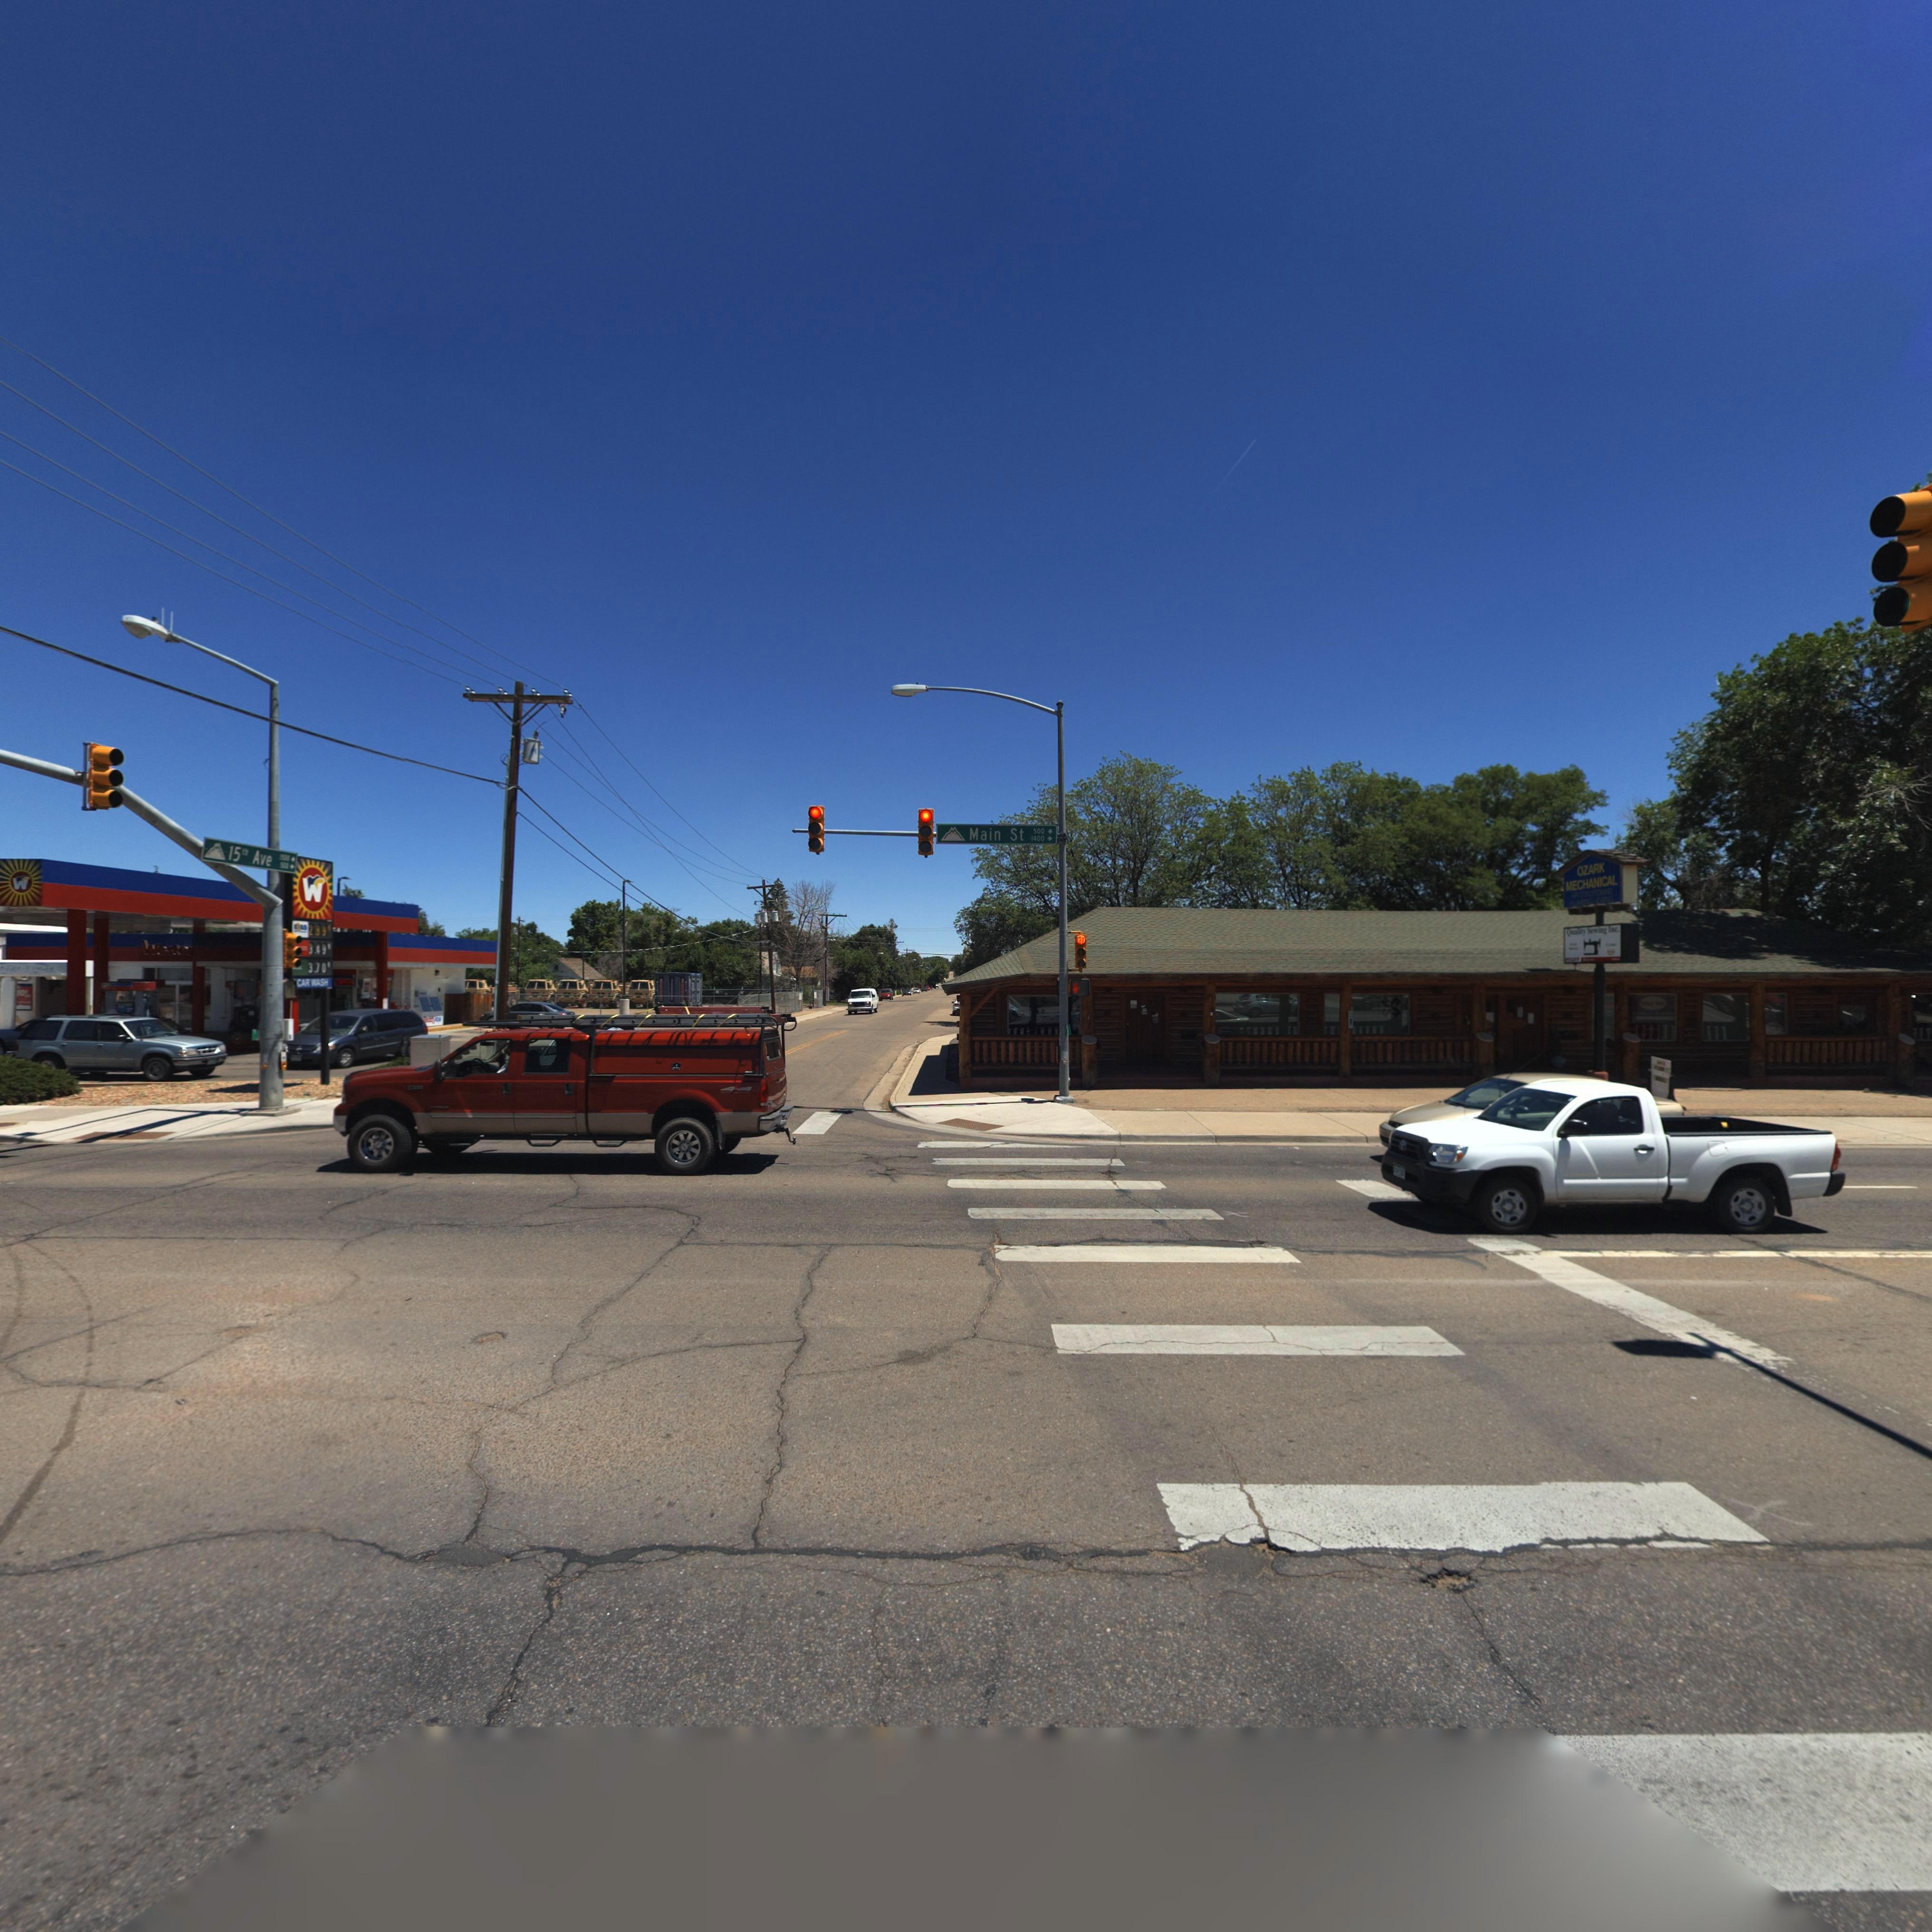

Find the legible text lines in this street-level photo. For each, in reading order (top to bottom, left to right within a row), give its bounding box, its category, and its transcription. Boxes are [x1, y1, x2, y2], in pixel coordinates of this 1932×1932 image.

[969, 827, 1024, 841] StreetName: Main St
[1033, 828, 1045, 834] StreetNumberRange: 500
[1031, 835, 1053, 841] StreetNumberRange: 1400->
[226, 844, 273, 868] StreetName: 15th Ave
[278, 851, 291, 862] StreetNumberRange: 1500
[279, 861, 295, 869] BusinessName: 500->
[1576, 861, 1606, 877] BusinessName: OZARK
[1565, 875, 1618, 893] BusinessName: MECHANICAL
[141, 938, 195, 957] BusinessName: West**